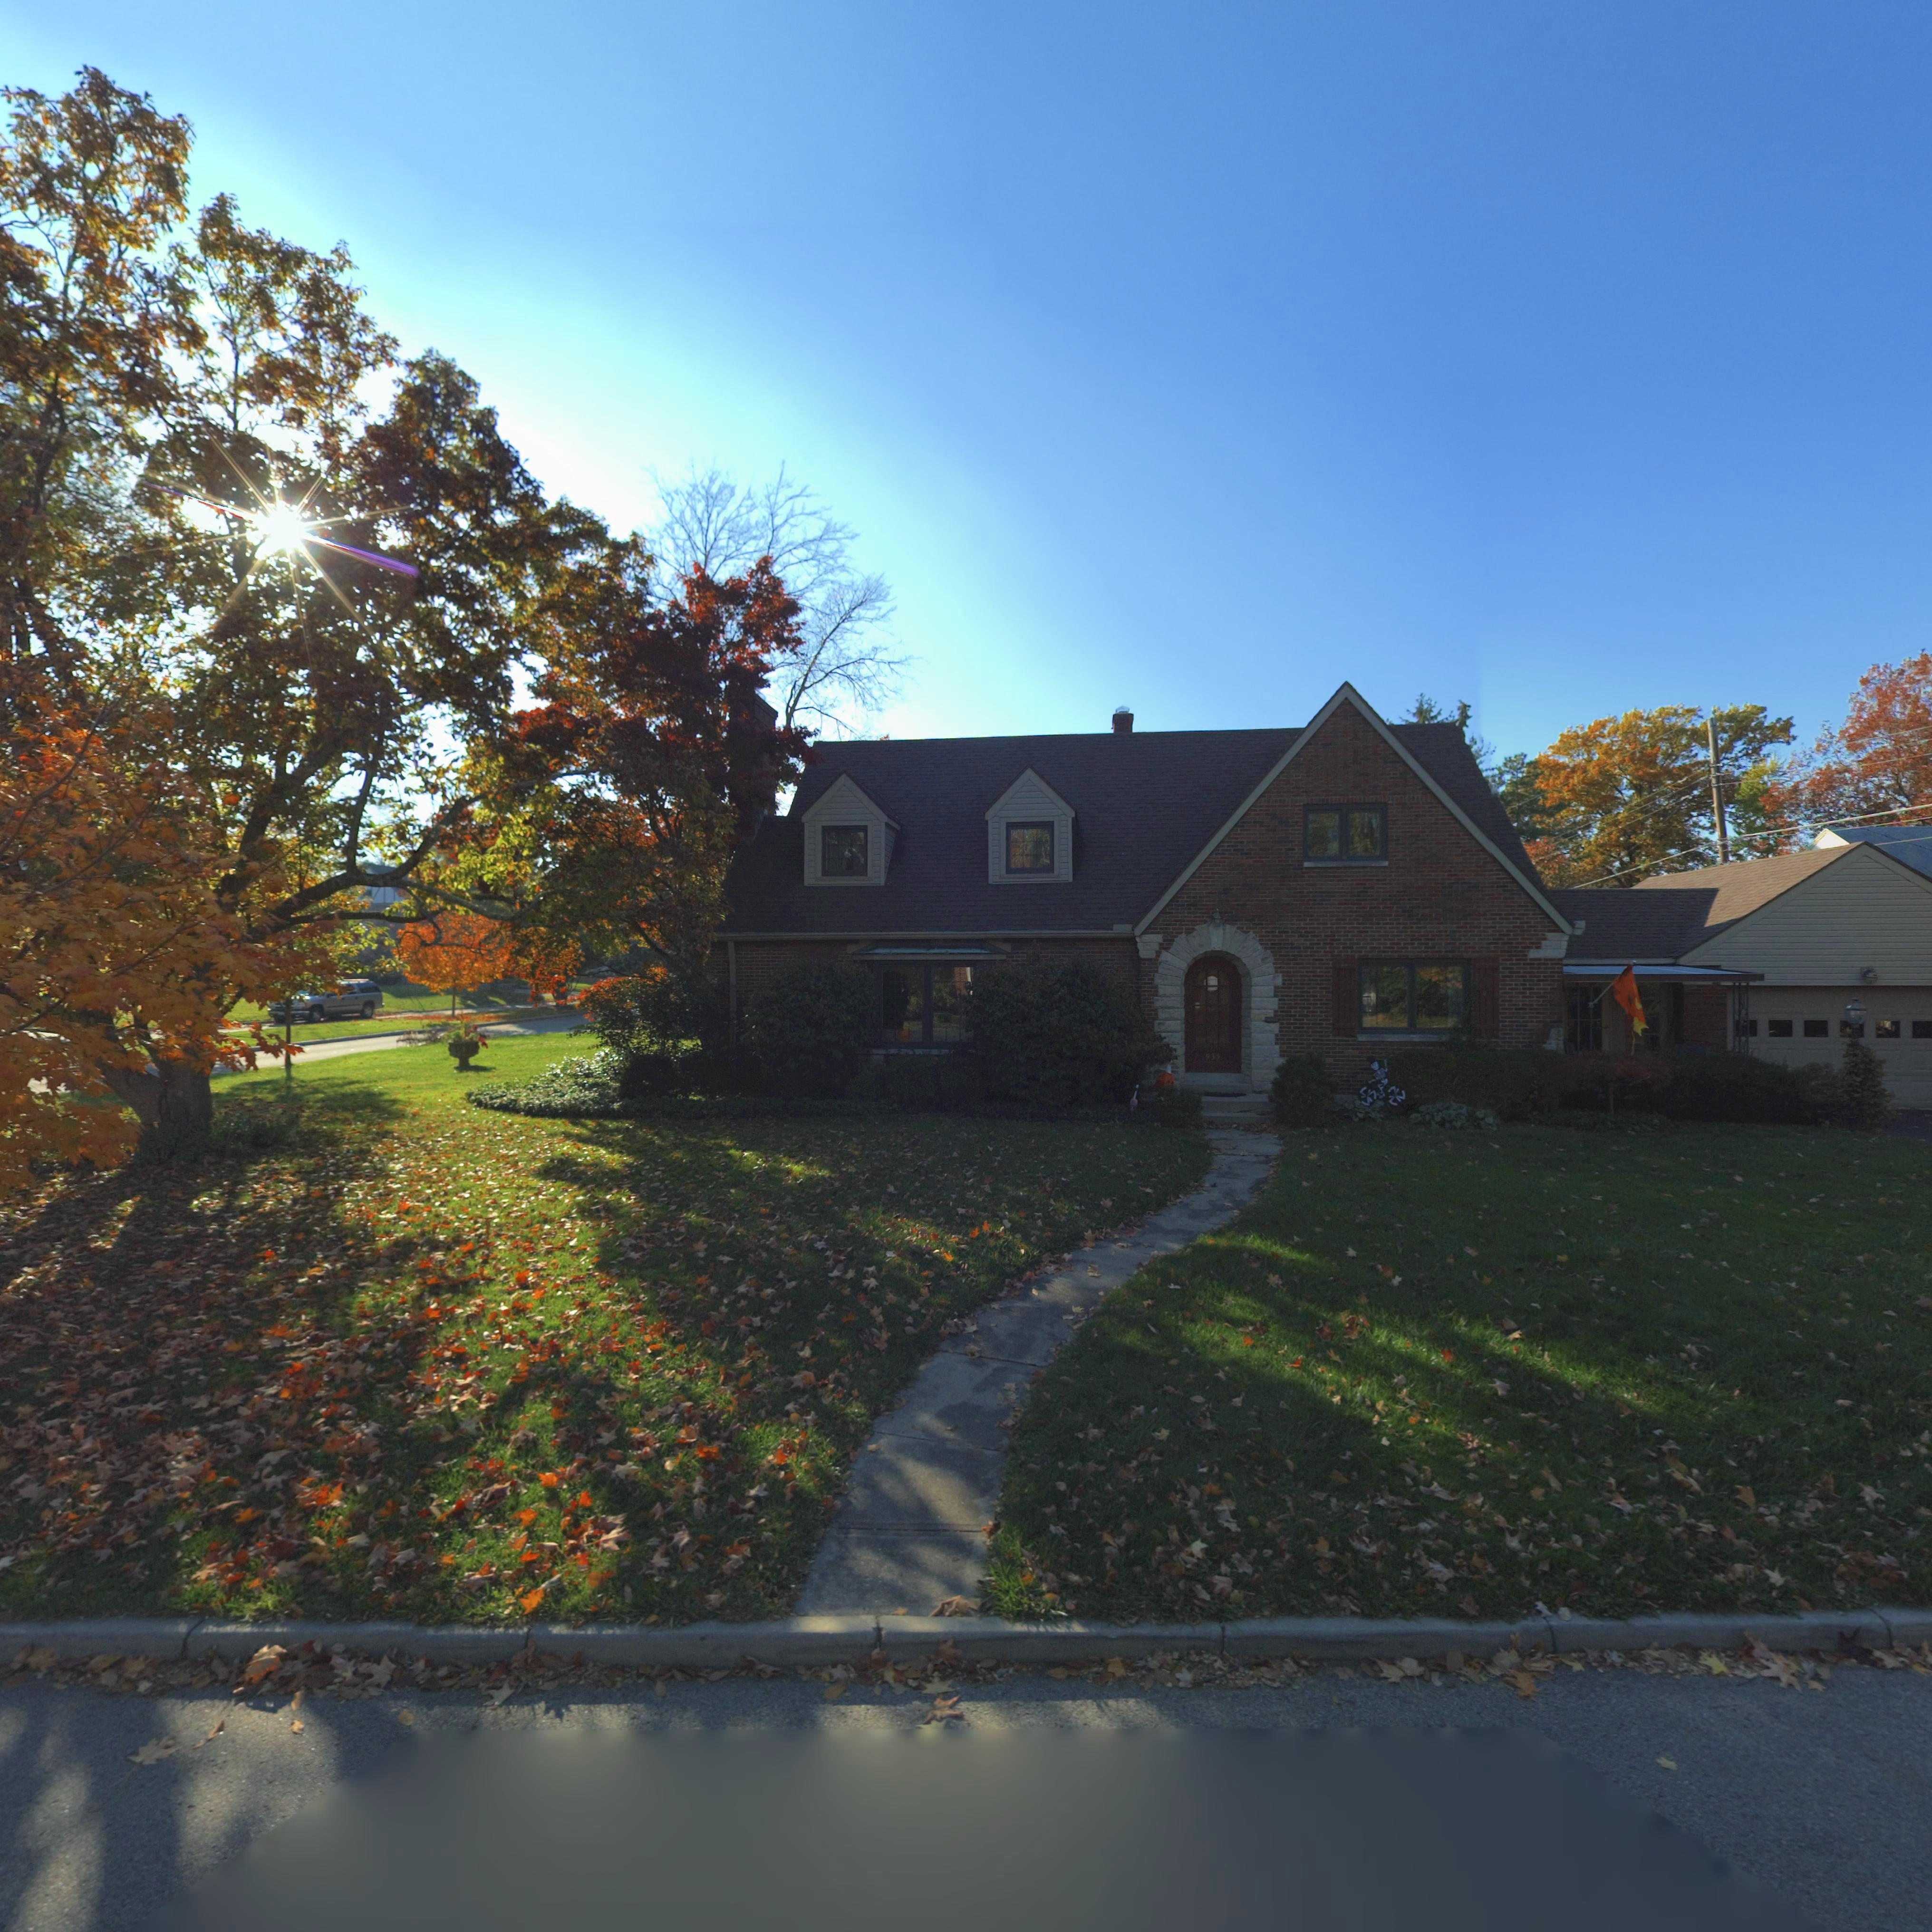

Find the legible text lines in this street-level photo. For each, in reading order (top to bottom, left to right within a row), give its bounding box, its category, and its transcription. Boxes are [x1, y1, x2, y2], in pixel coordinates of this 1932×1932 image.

[1205, 1053, 1221, 1061] StreetNumber: 935